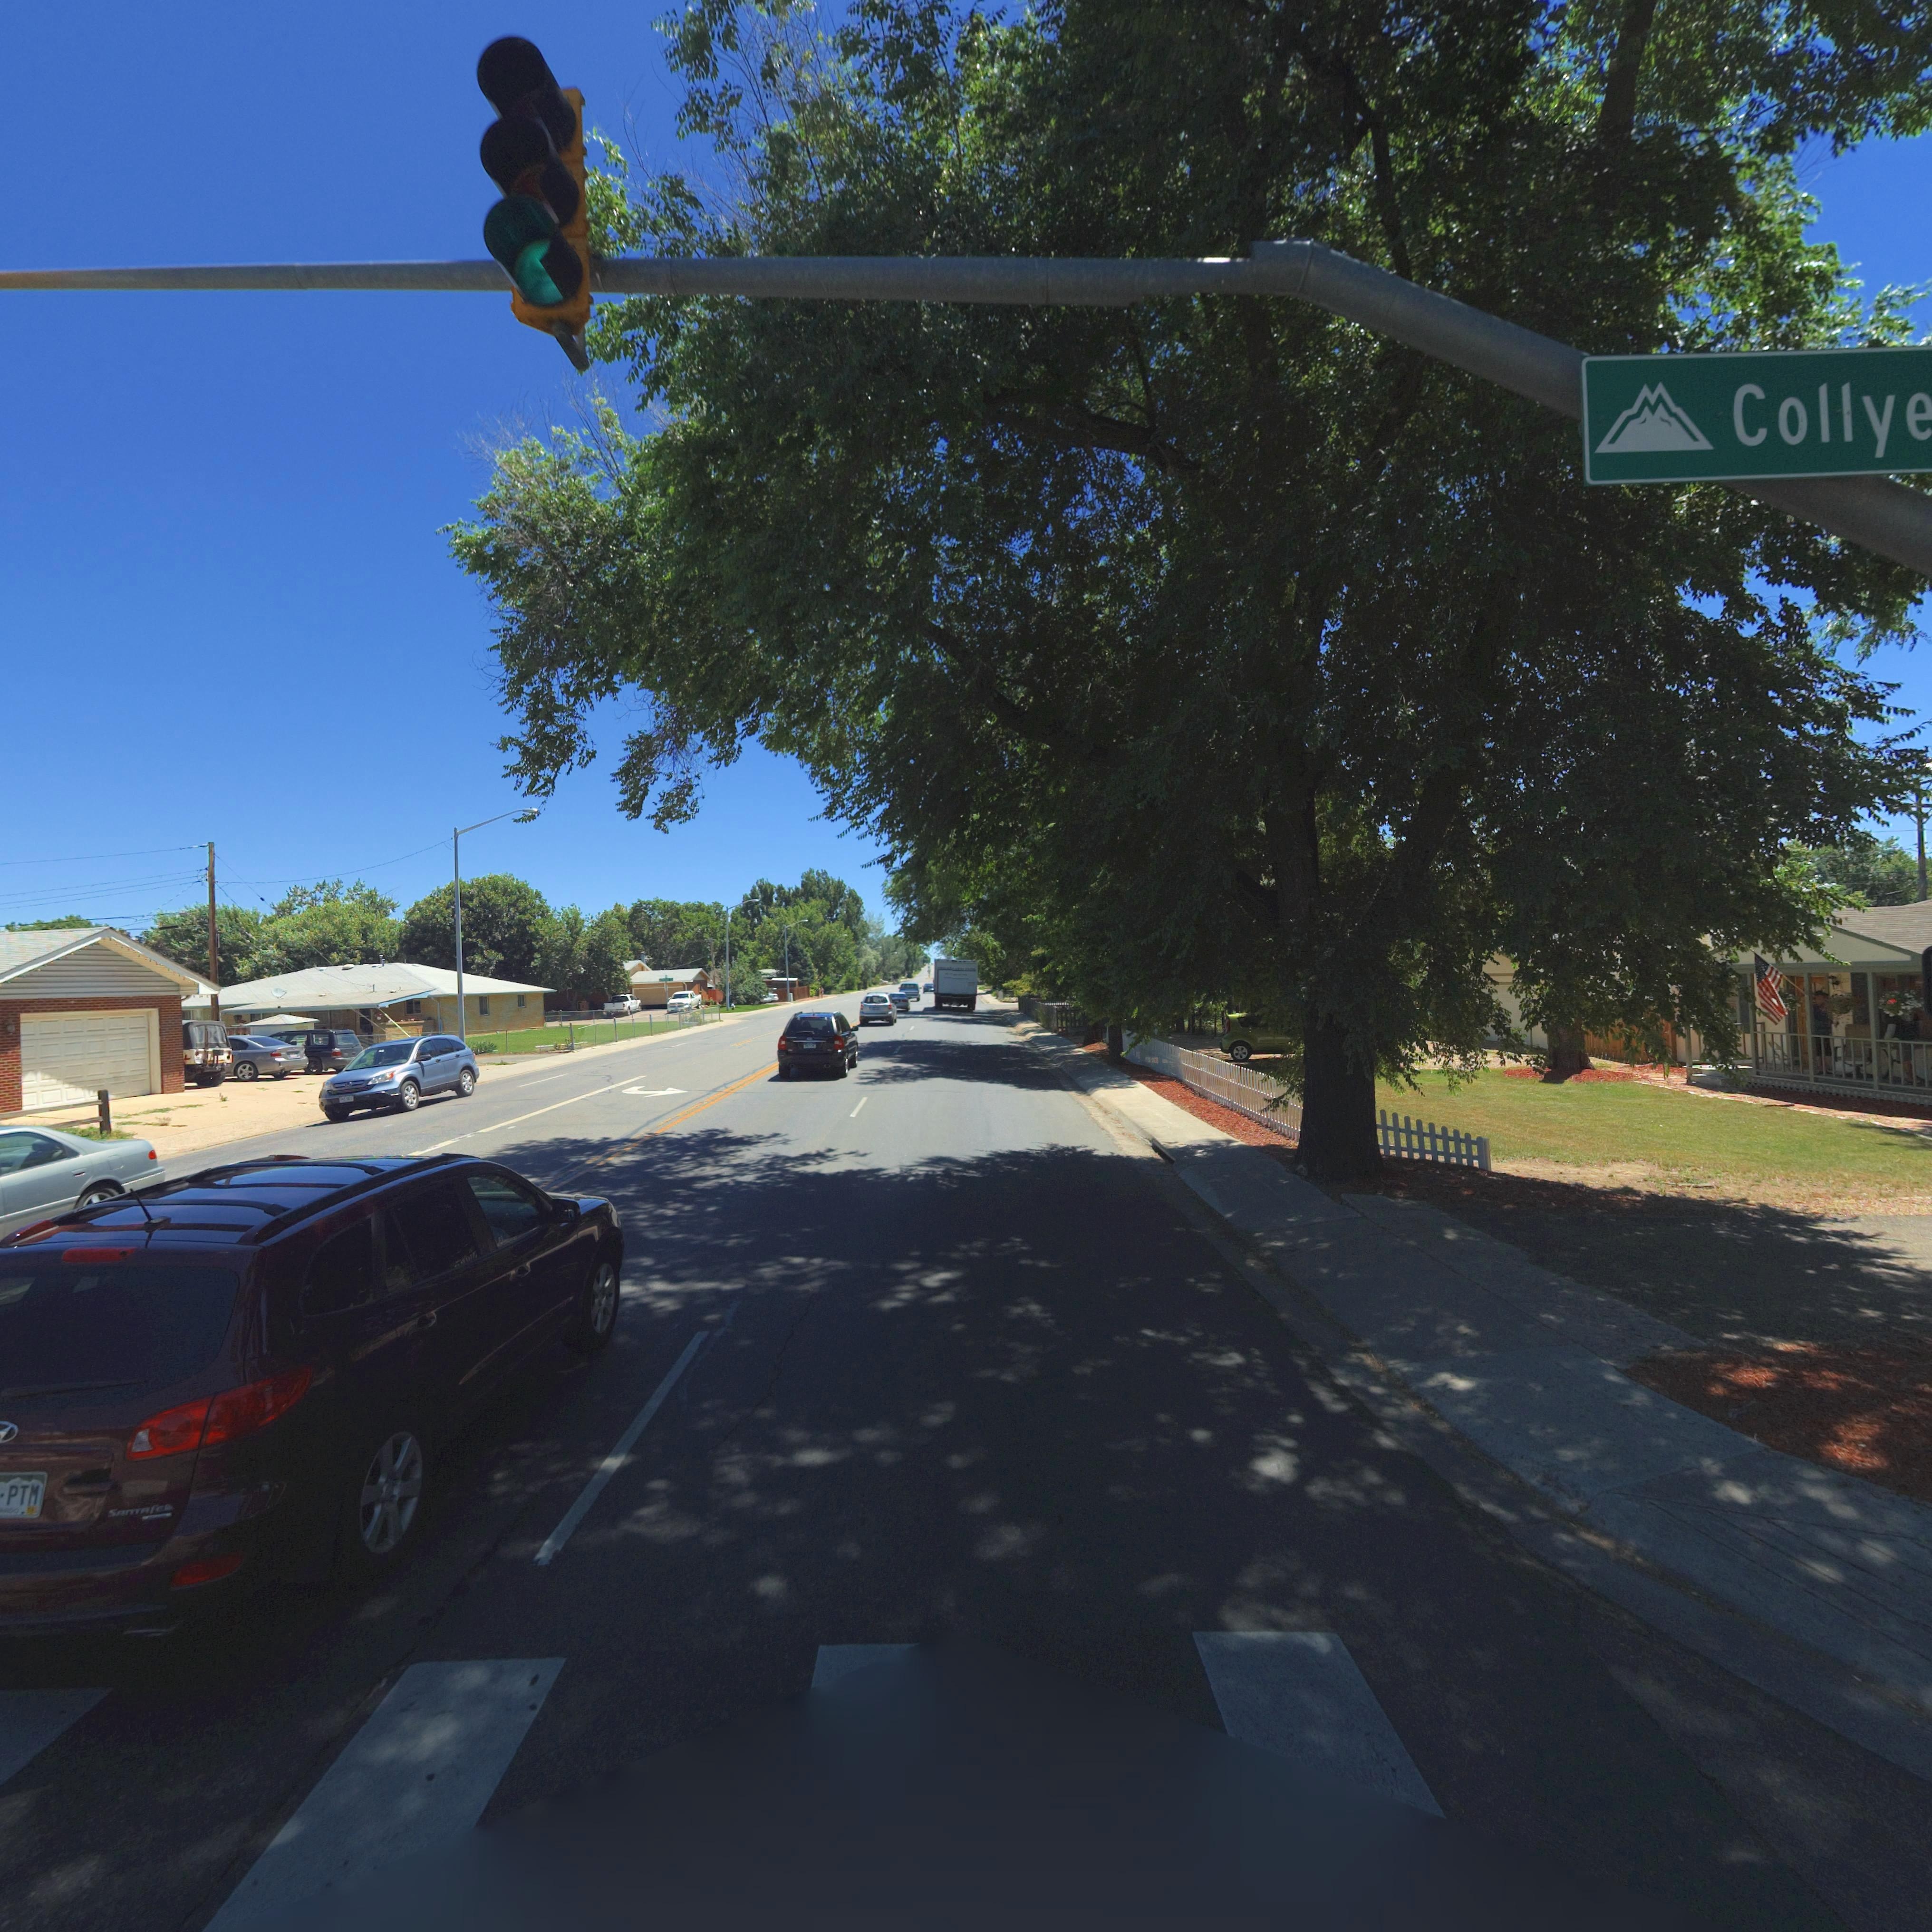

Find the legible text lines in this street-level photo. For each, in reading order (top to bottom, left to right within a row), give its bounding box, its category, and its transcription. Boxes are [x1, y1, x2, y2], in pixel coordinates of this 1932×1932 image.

[1731, 380, 1932, 458] StreetName: Collye